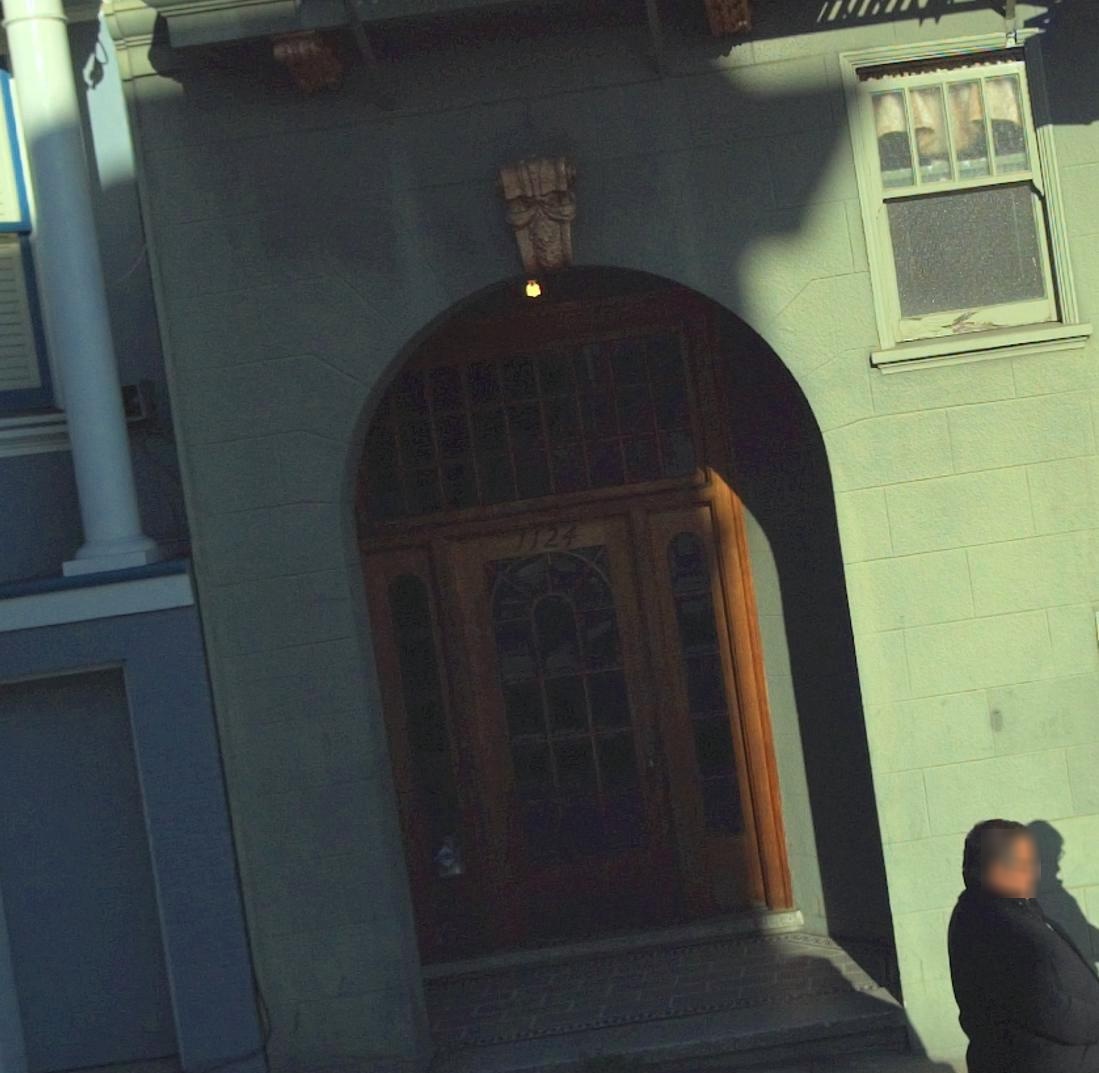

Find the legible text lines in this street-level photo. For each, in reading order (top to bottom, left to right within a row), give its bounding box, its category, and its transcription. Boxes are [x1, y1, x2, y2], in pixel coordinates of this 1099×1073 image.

[512, 523, 581, 553] StreetNumber: 1124